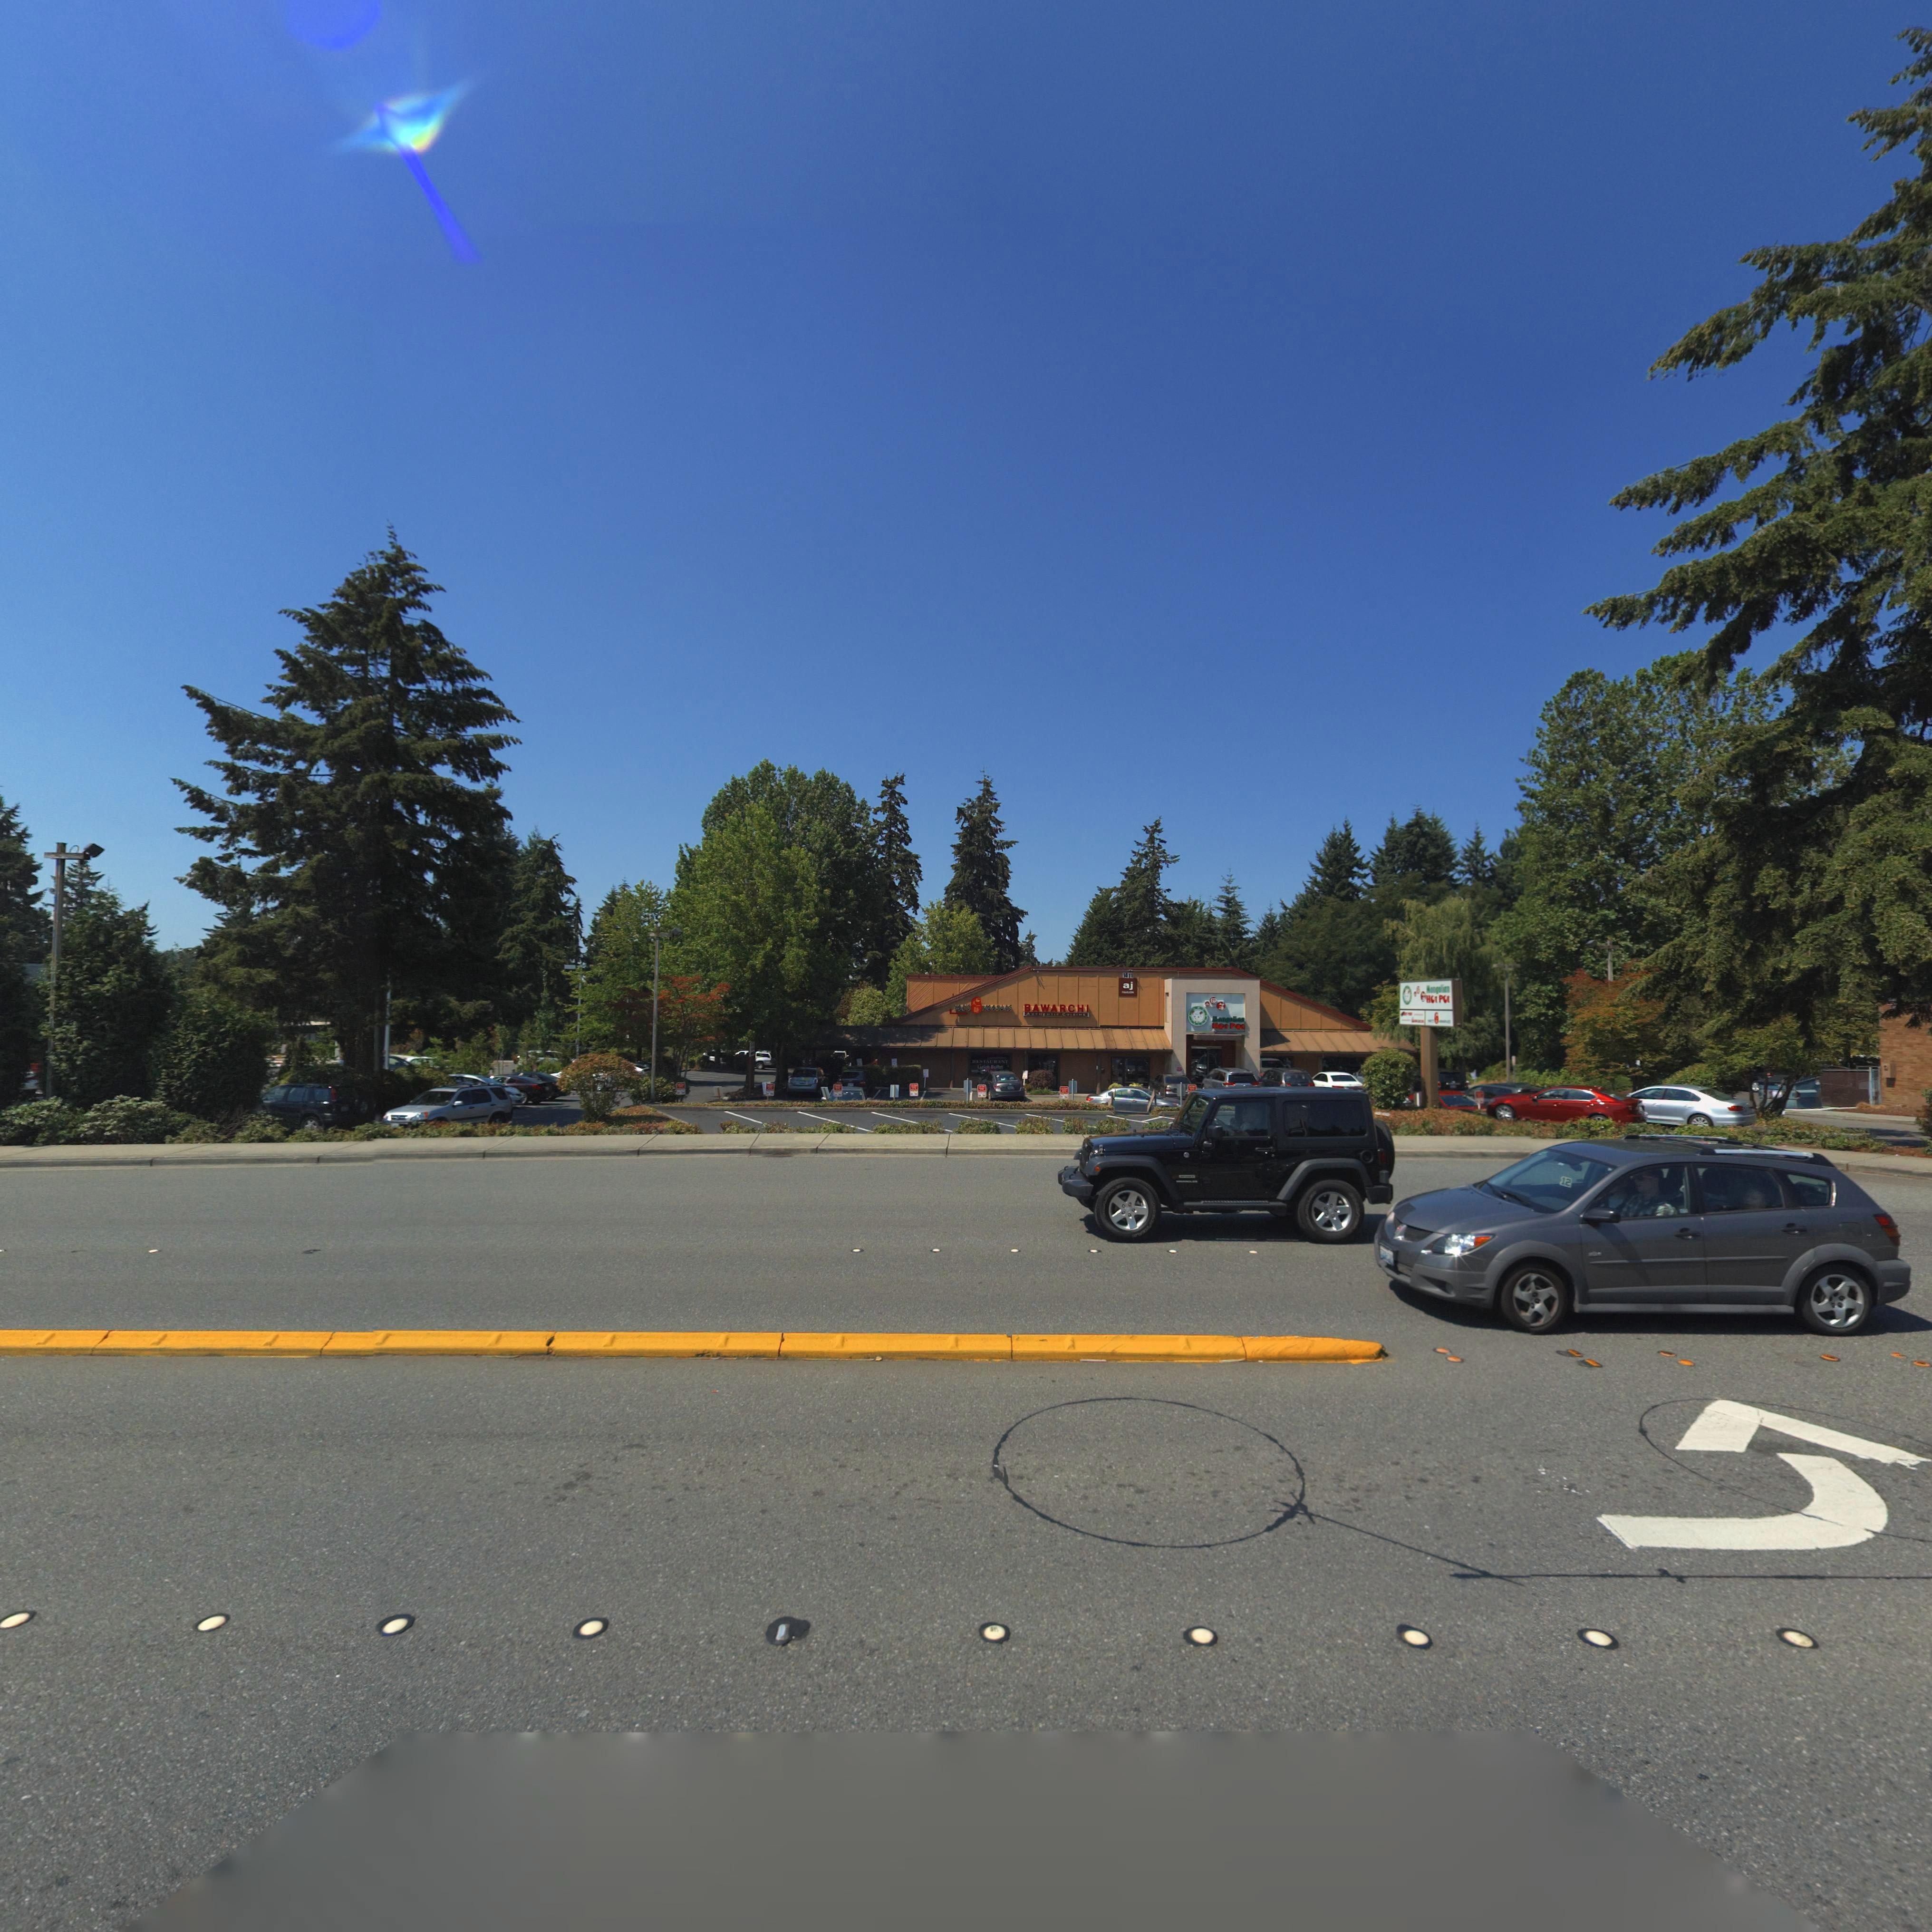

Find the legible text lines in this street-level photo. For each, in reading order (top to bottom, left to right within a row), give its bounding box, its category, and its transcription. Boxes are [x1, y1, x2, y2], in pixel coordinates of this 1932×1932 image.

[1121, 981, 1133, 990] BusinessName: aj
[1426, 994, 1451, 1004] BusinessName: HOT POT
[1024, 1003, 1091, 1012] None: BAWARCHI
[1211, 1022, 1245, 1029] BusinessName: HOT POT